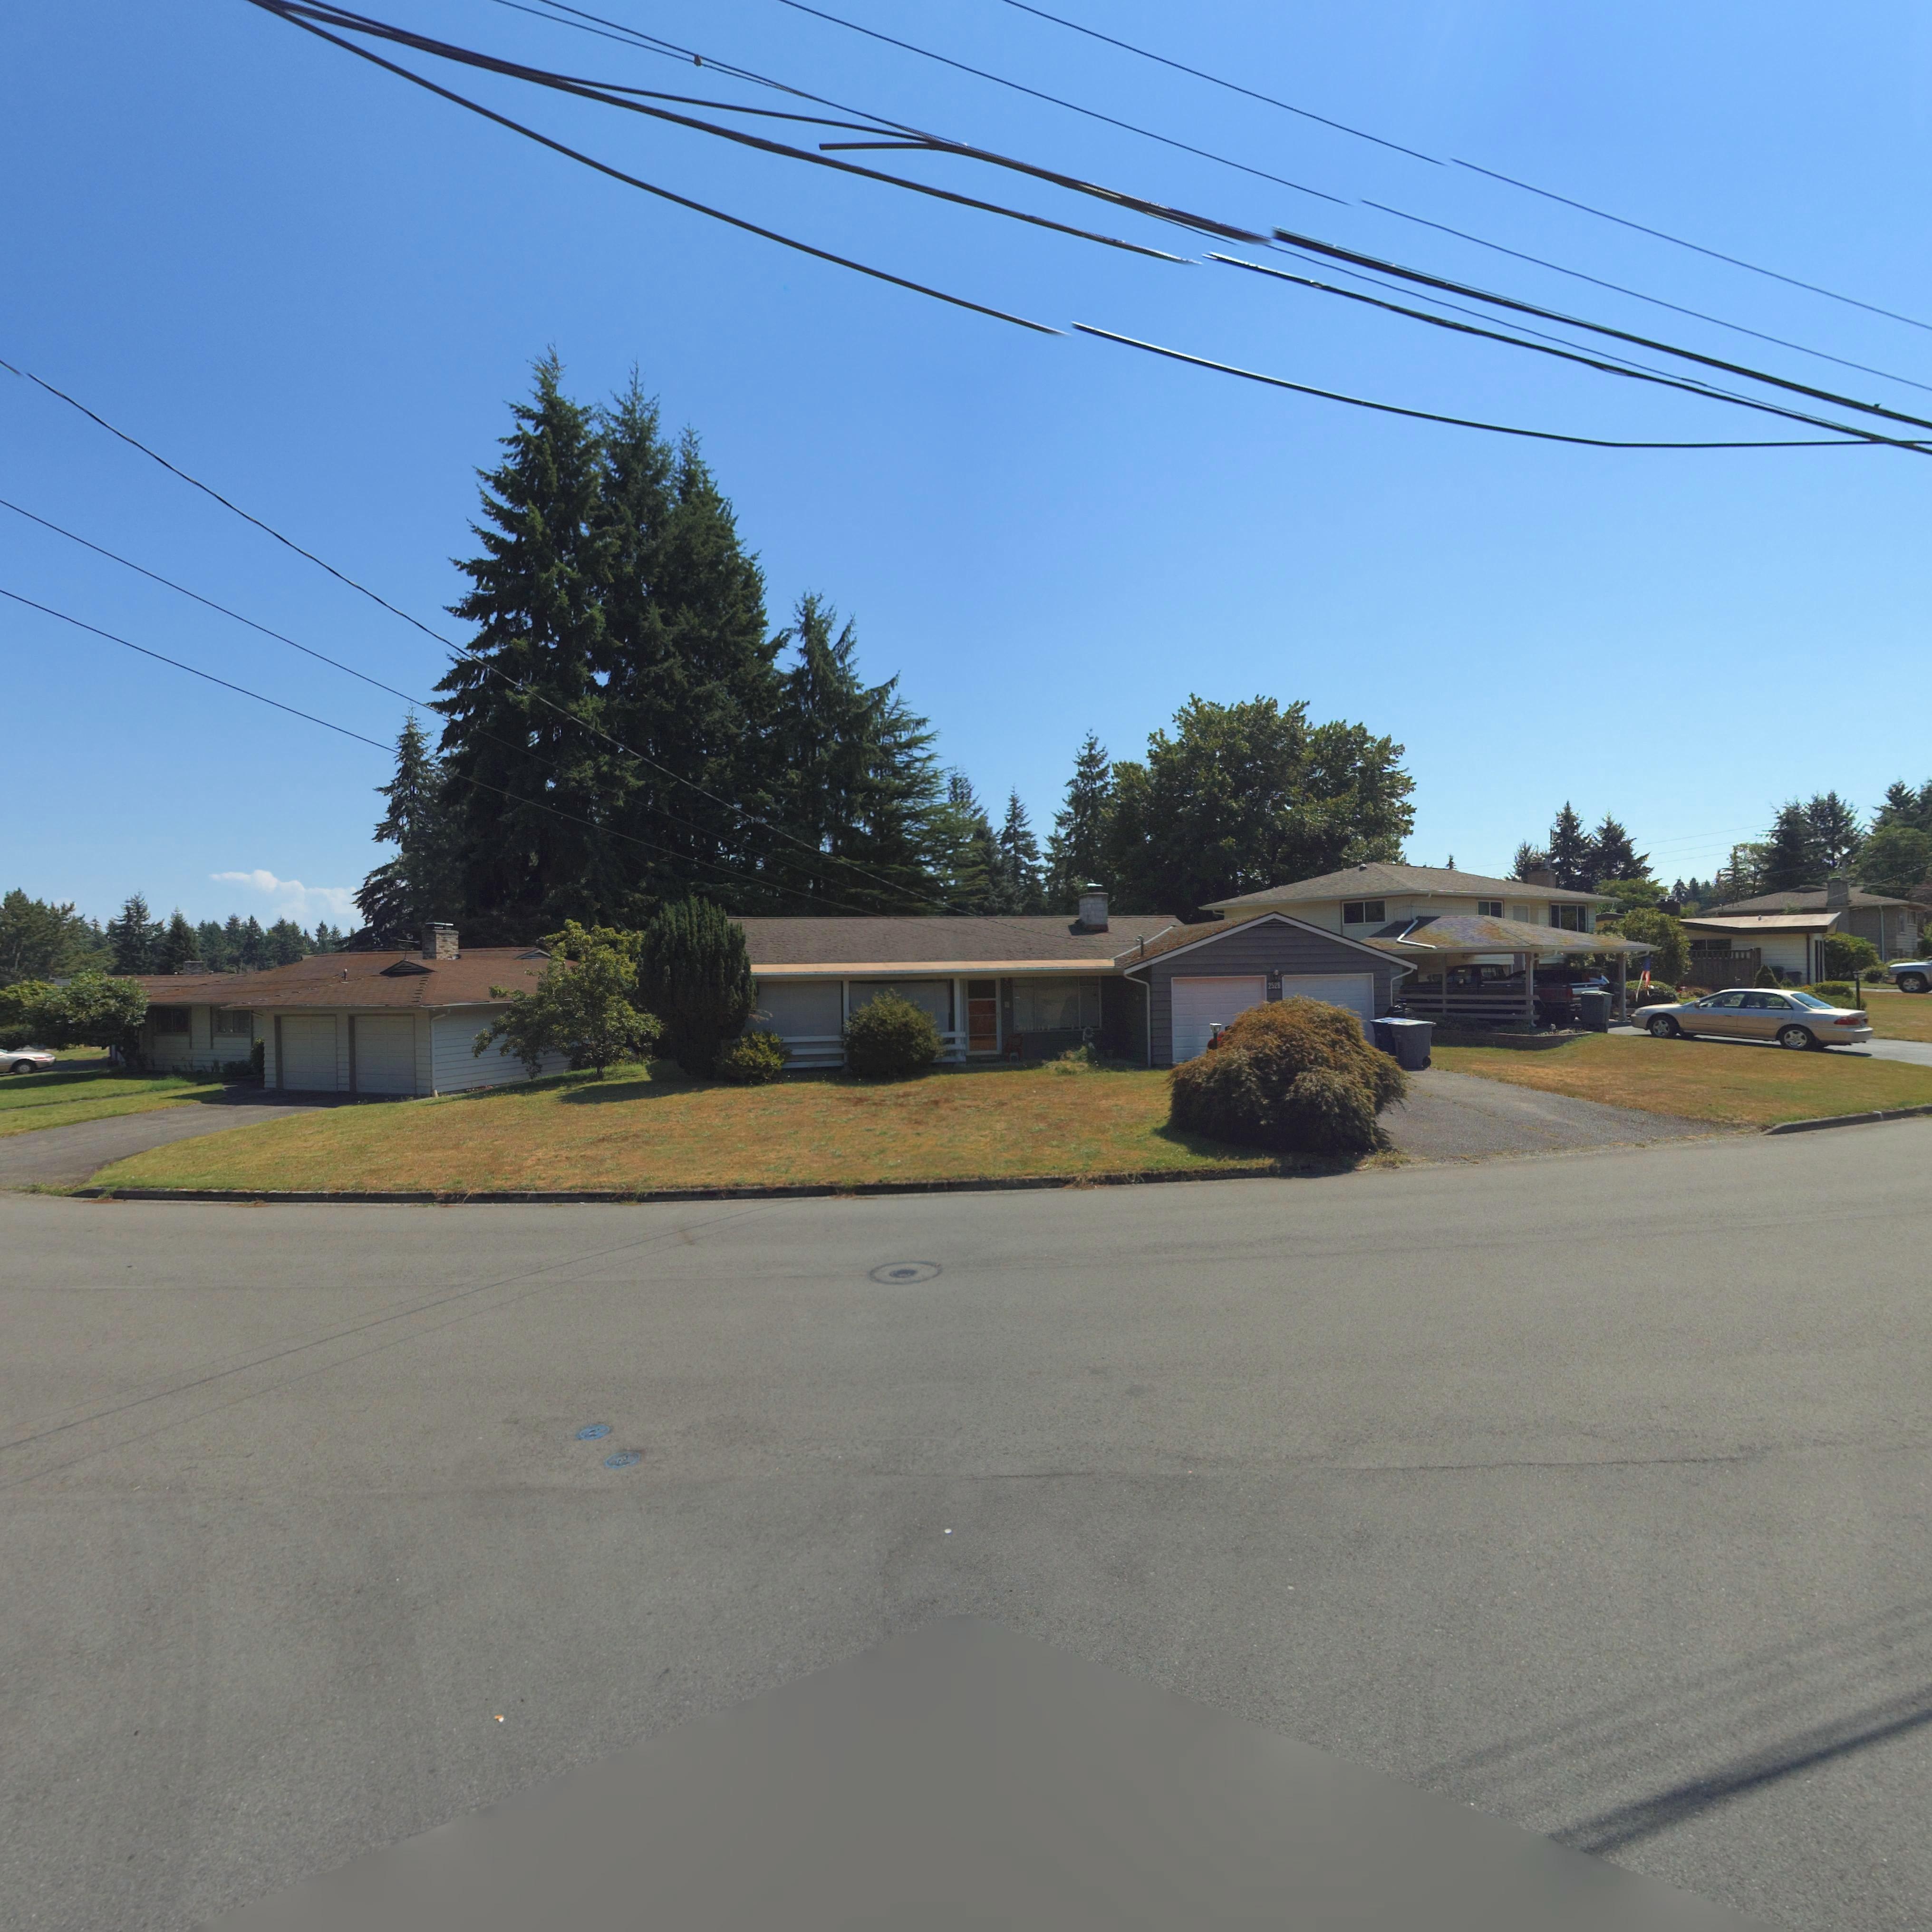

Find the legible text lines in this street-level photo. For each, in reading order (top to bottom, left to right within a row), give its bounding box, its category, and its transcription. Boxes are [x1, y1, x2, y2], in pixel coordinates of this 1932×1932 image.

[1267, 981, 1281, 990] StreetNumber: 2528